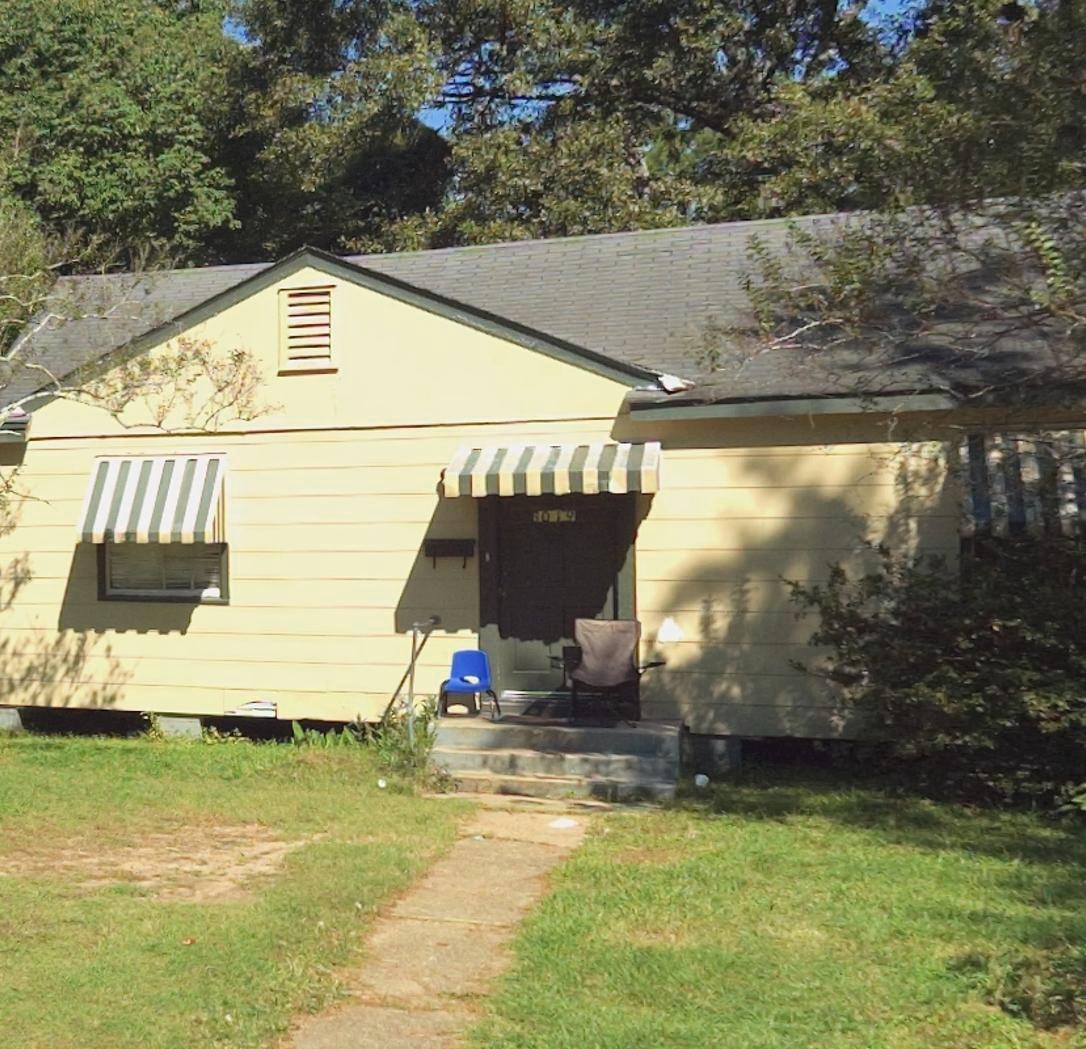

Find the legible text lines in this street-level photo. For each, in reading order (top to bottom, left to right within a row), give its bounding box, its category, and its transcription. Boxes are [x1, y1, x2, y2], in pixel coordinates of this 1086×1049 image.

[531, 509, 574, 523] StreetNumber: *019